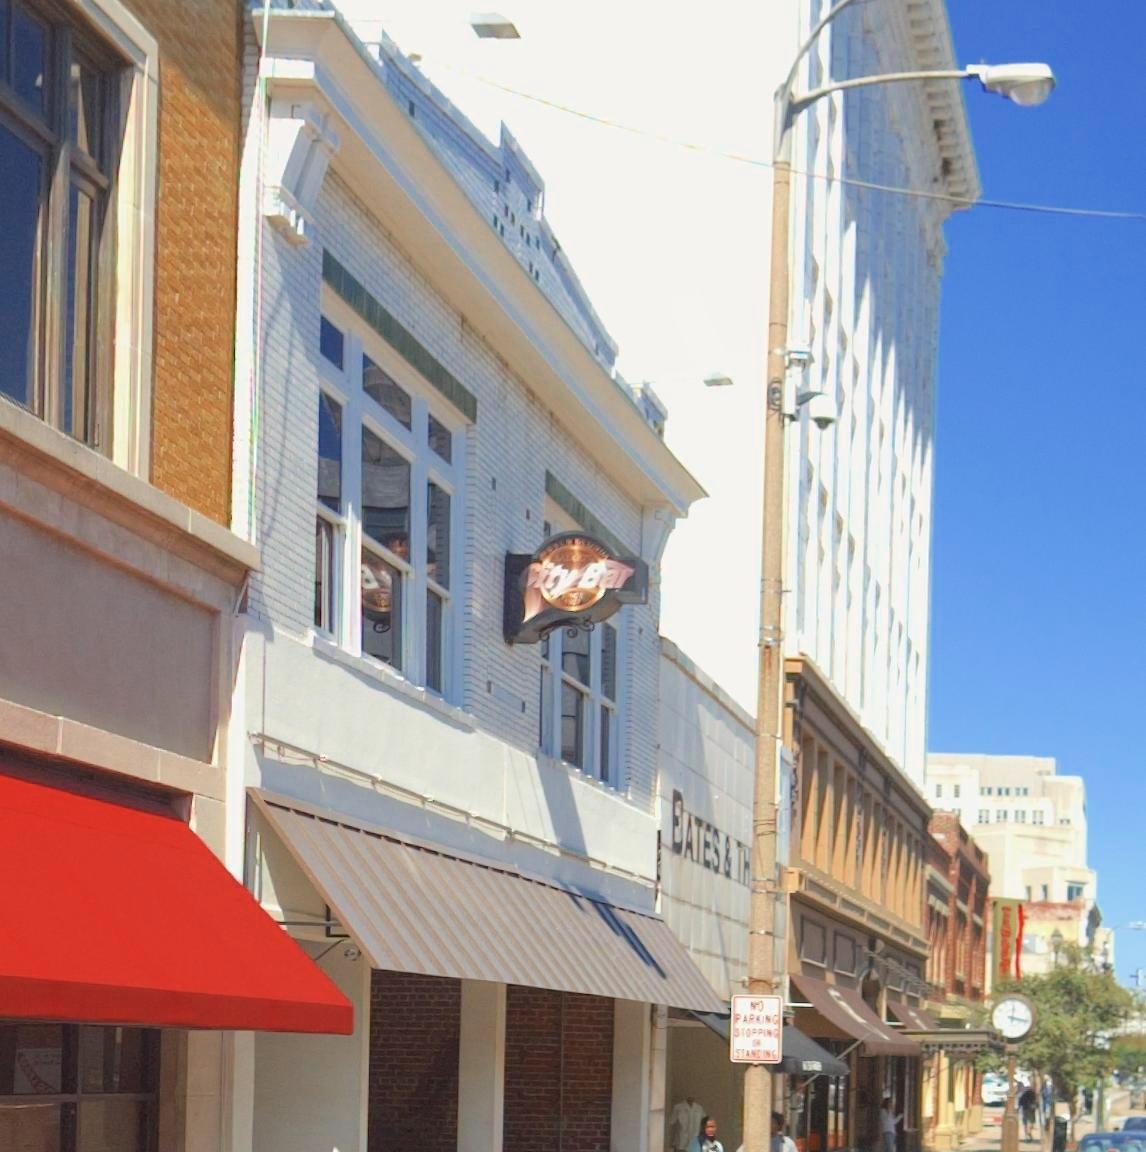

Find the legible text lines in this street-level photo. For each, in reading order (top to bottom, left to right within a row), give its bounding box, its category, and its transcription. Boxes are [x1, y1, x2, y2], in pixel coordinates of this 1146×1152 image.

[516, 559, 639, 598] BusinessName: City Bar
[668, 783, 753, 892] BusinessName: BATES & TH
[747, 998, 767, 1014] None: NO
[732, 1011, 781, 1028] None: PAR*I*G
[731, 1025, 781, 1041] None: **OPPI*G
[733, 1046, 779, 1062] None: ST*****G